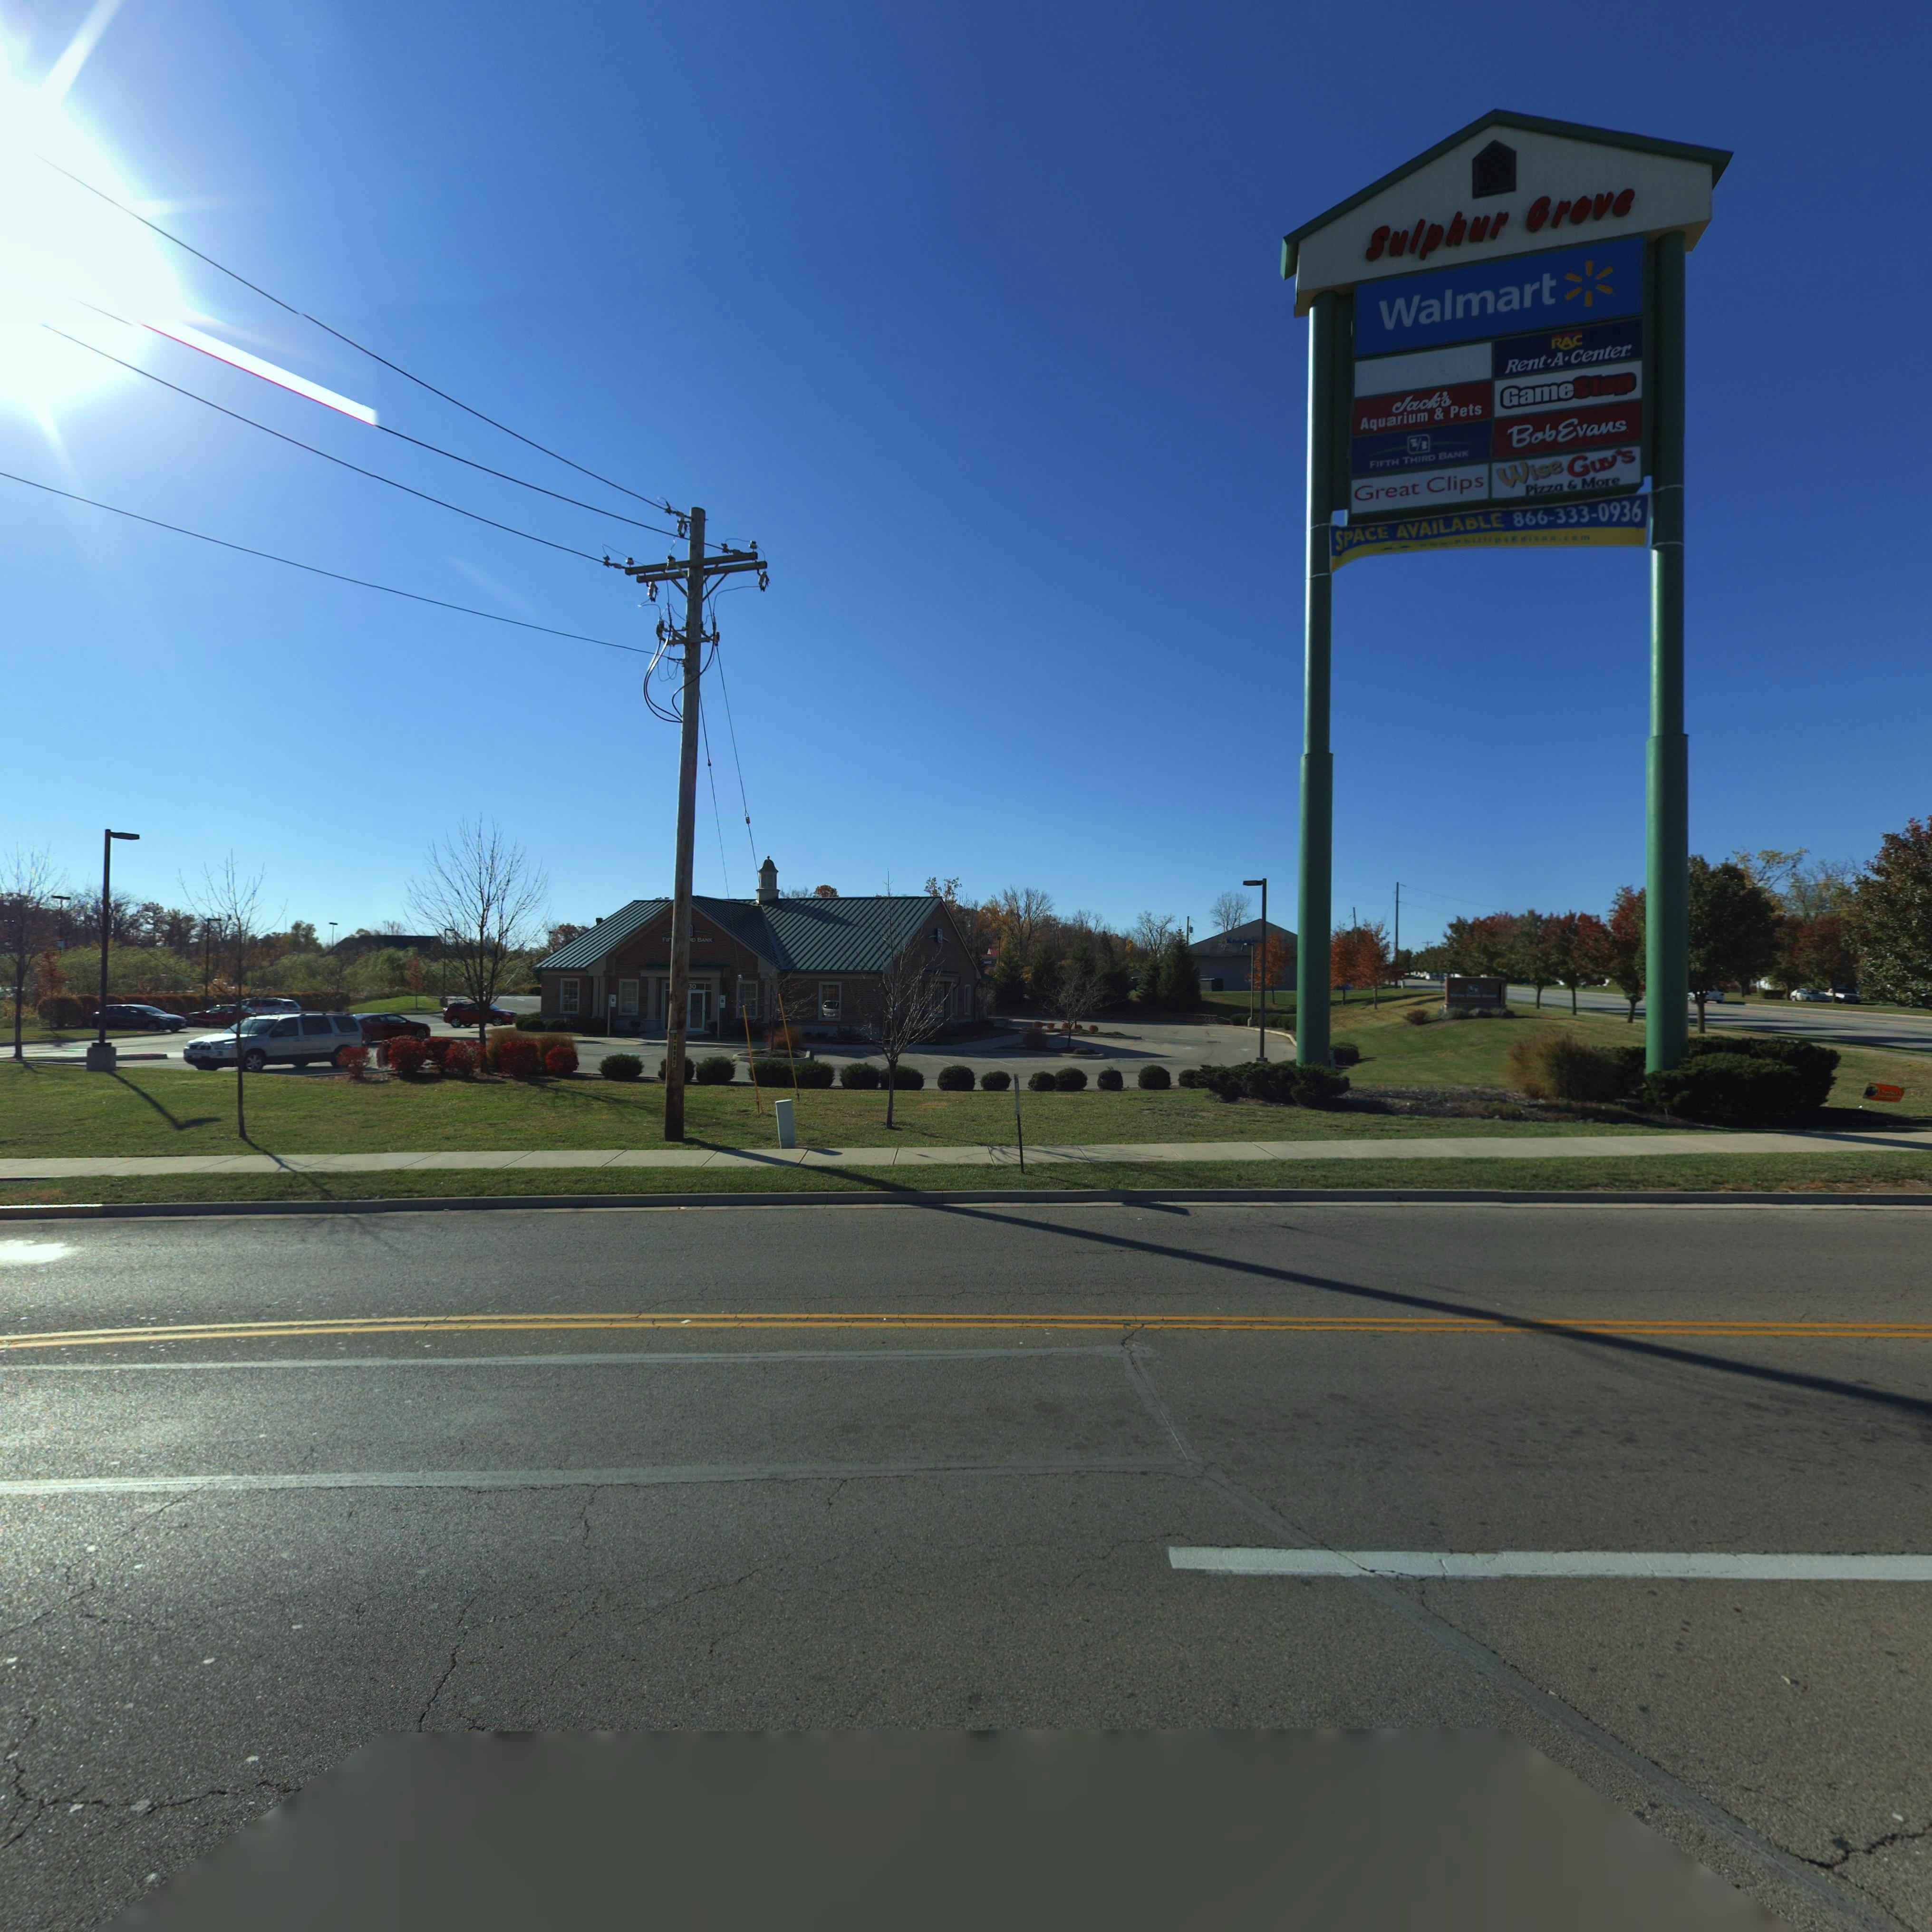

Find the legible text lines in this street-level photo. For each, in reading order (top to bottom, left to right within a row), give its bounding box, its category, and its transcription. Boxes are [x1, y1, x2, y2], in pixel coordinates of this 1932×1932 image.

[688, 984, 696, 989] StreetNumber: 30